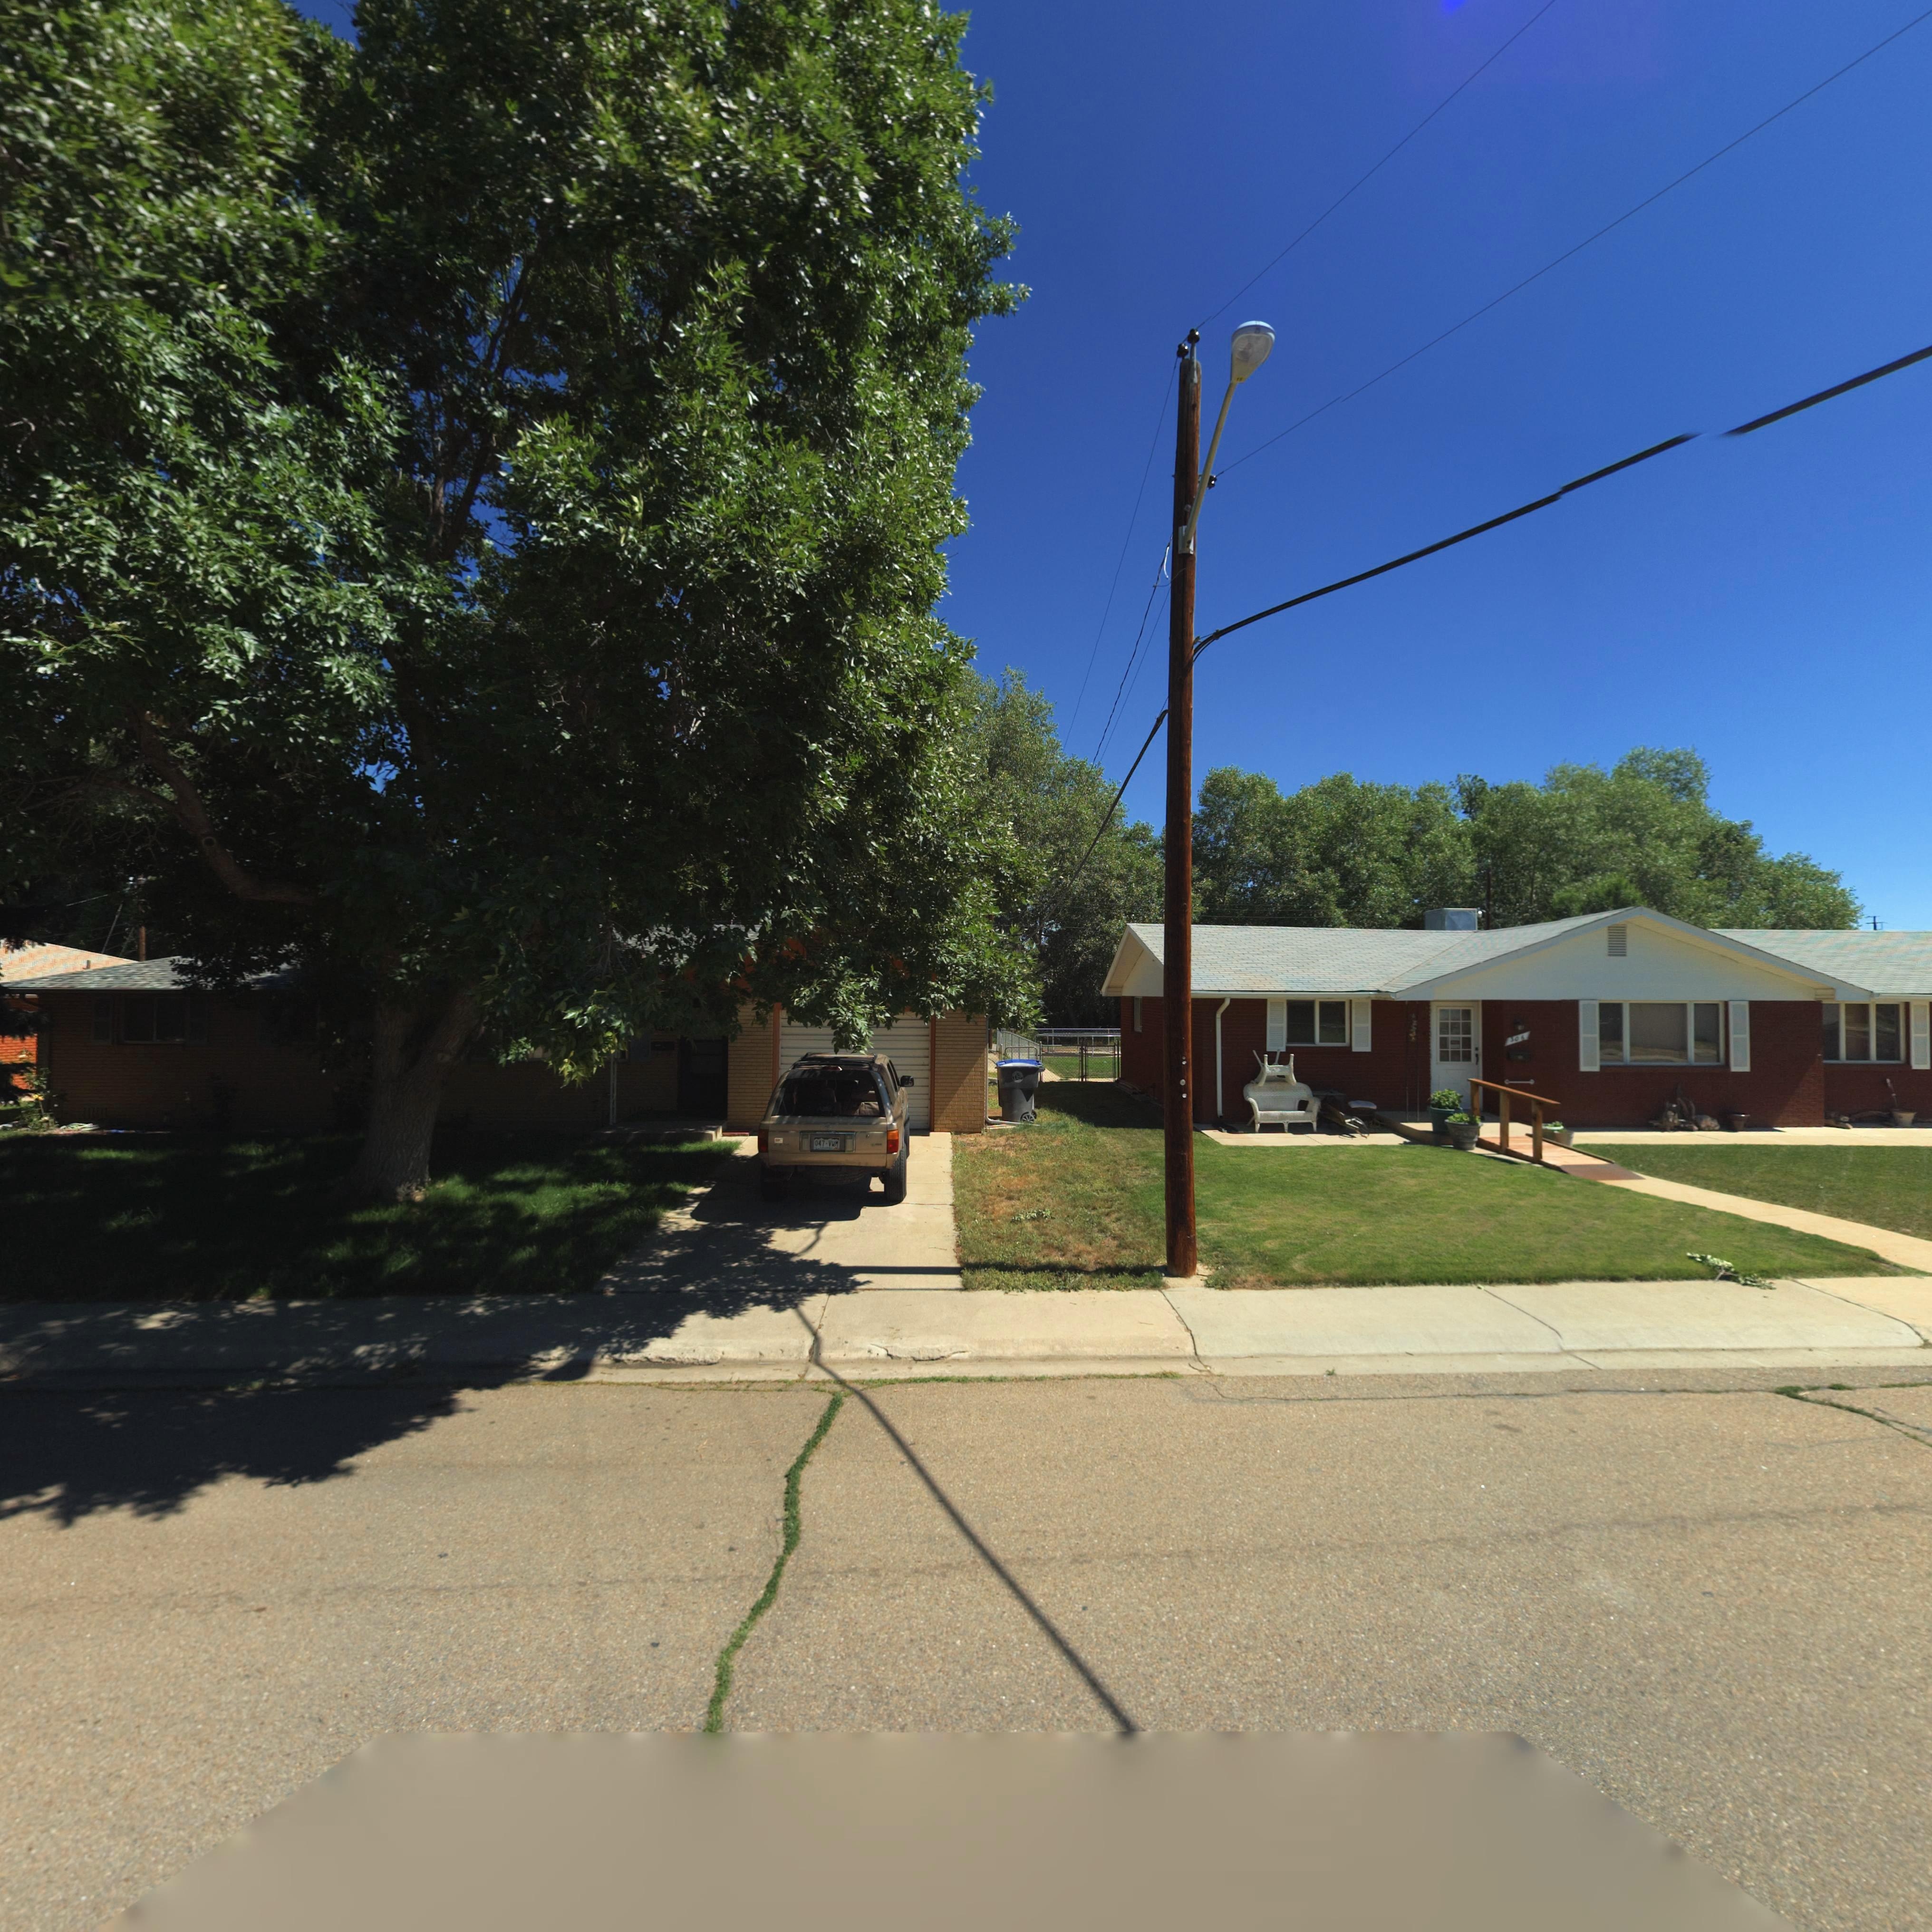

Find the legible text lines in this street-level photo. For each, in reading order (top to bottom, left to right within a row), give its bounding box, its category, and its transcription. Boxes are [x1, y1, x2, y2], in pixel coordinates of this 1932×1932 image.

[1509, 1034, 1527, 1043] StreetNumber: 30*